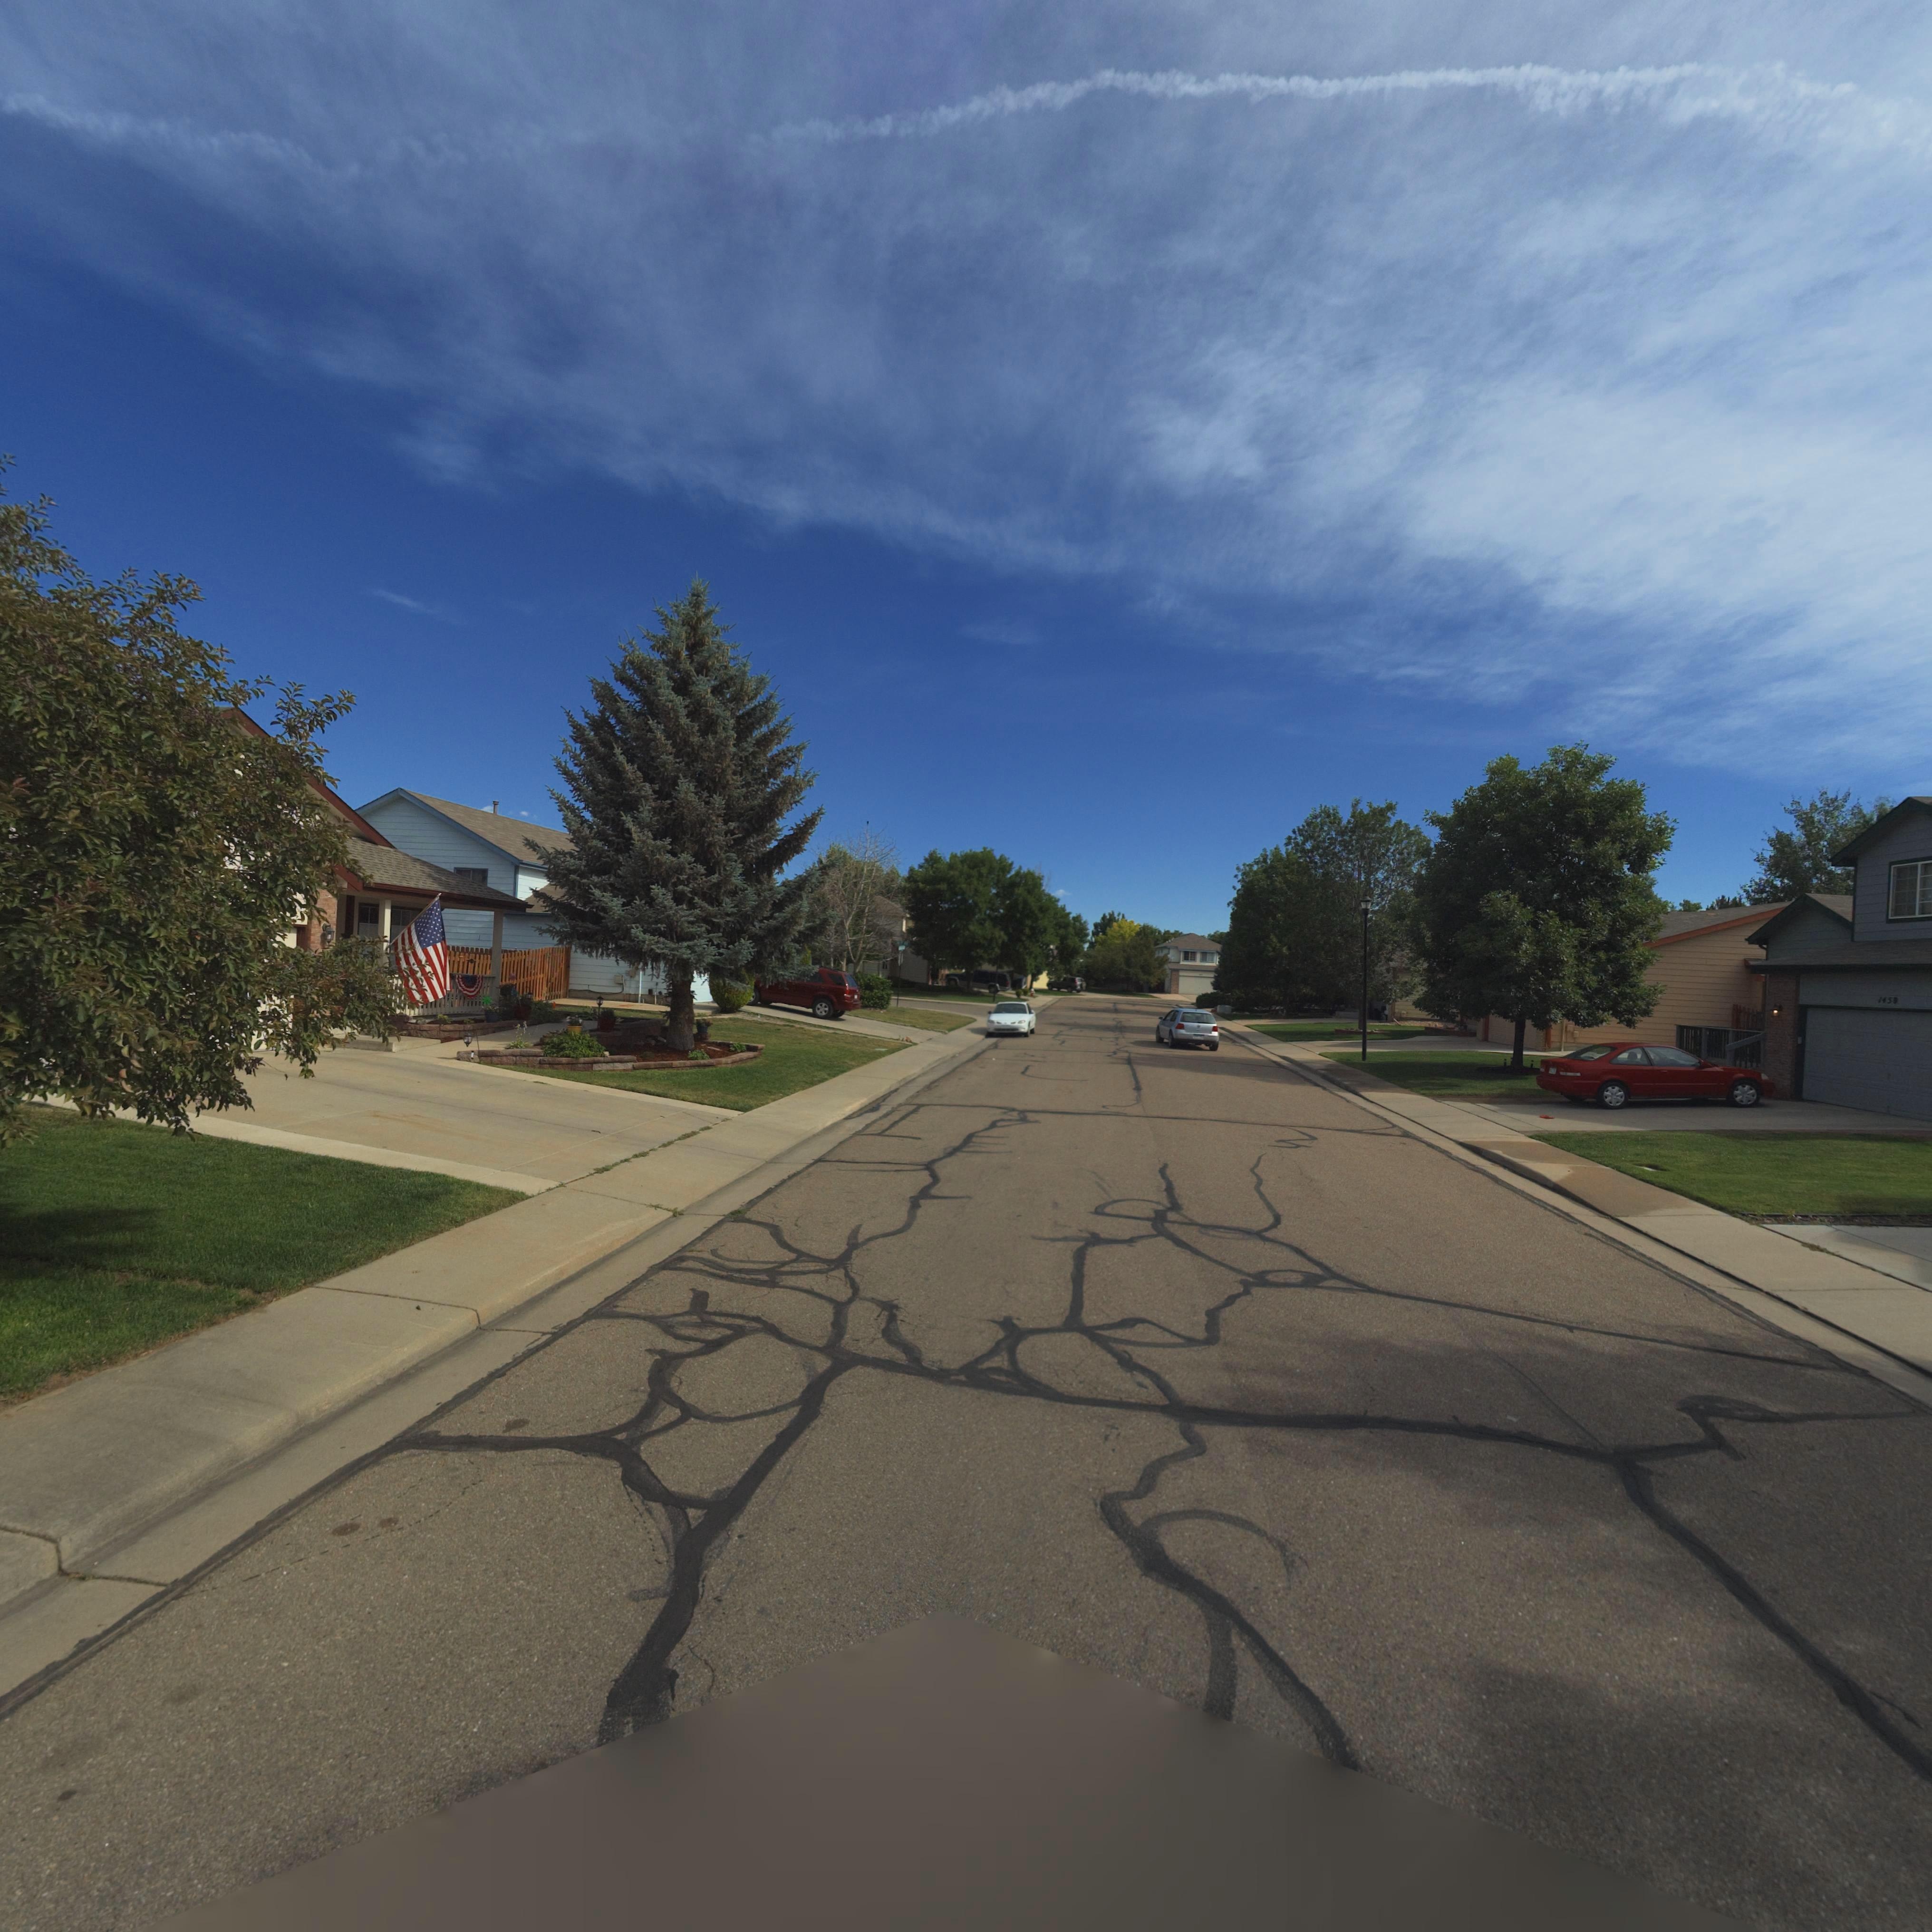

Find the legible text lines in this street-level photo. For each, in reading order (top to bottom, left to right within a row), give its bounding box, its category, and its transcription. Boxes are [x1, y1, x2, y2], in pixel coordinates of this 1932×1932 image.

[1876, 995, 1898, 1005] StreetNumber: 1450